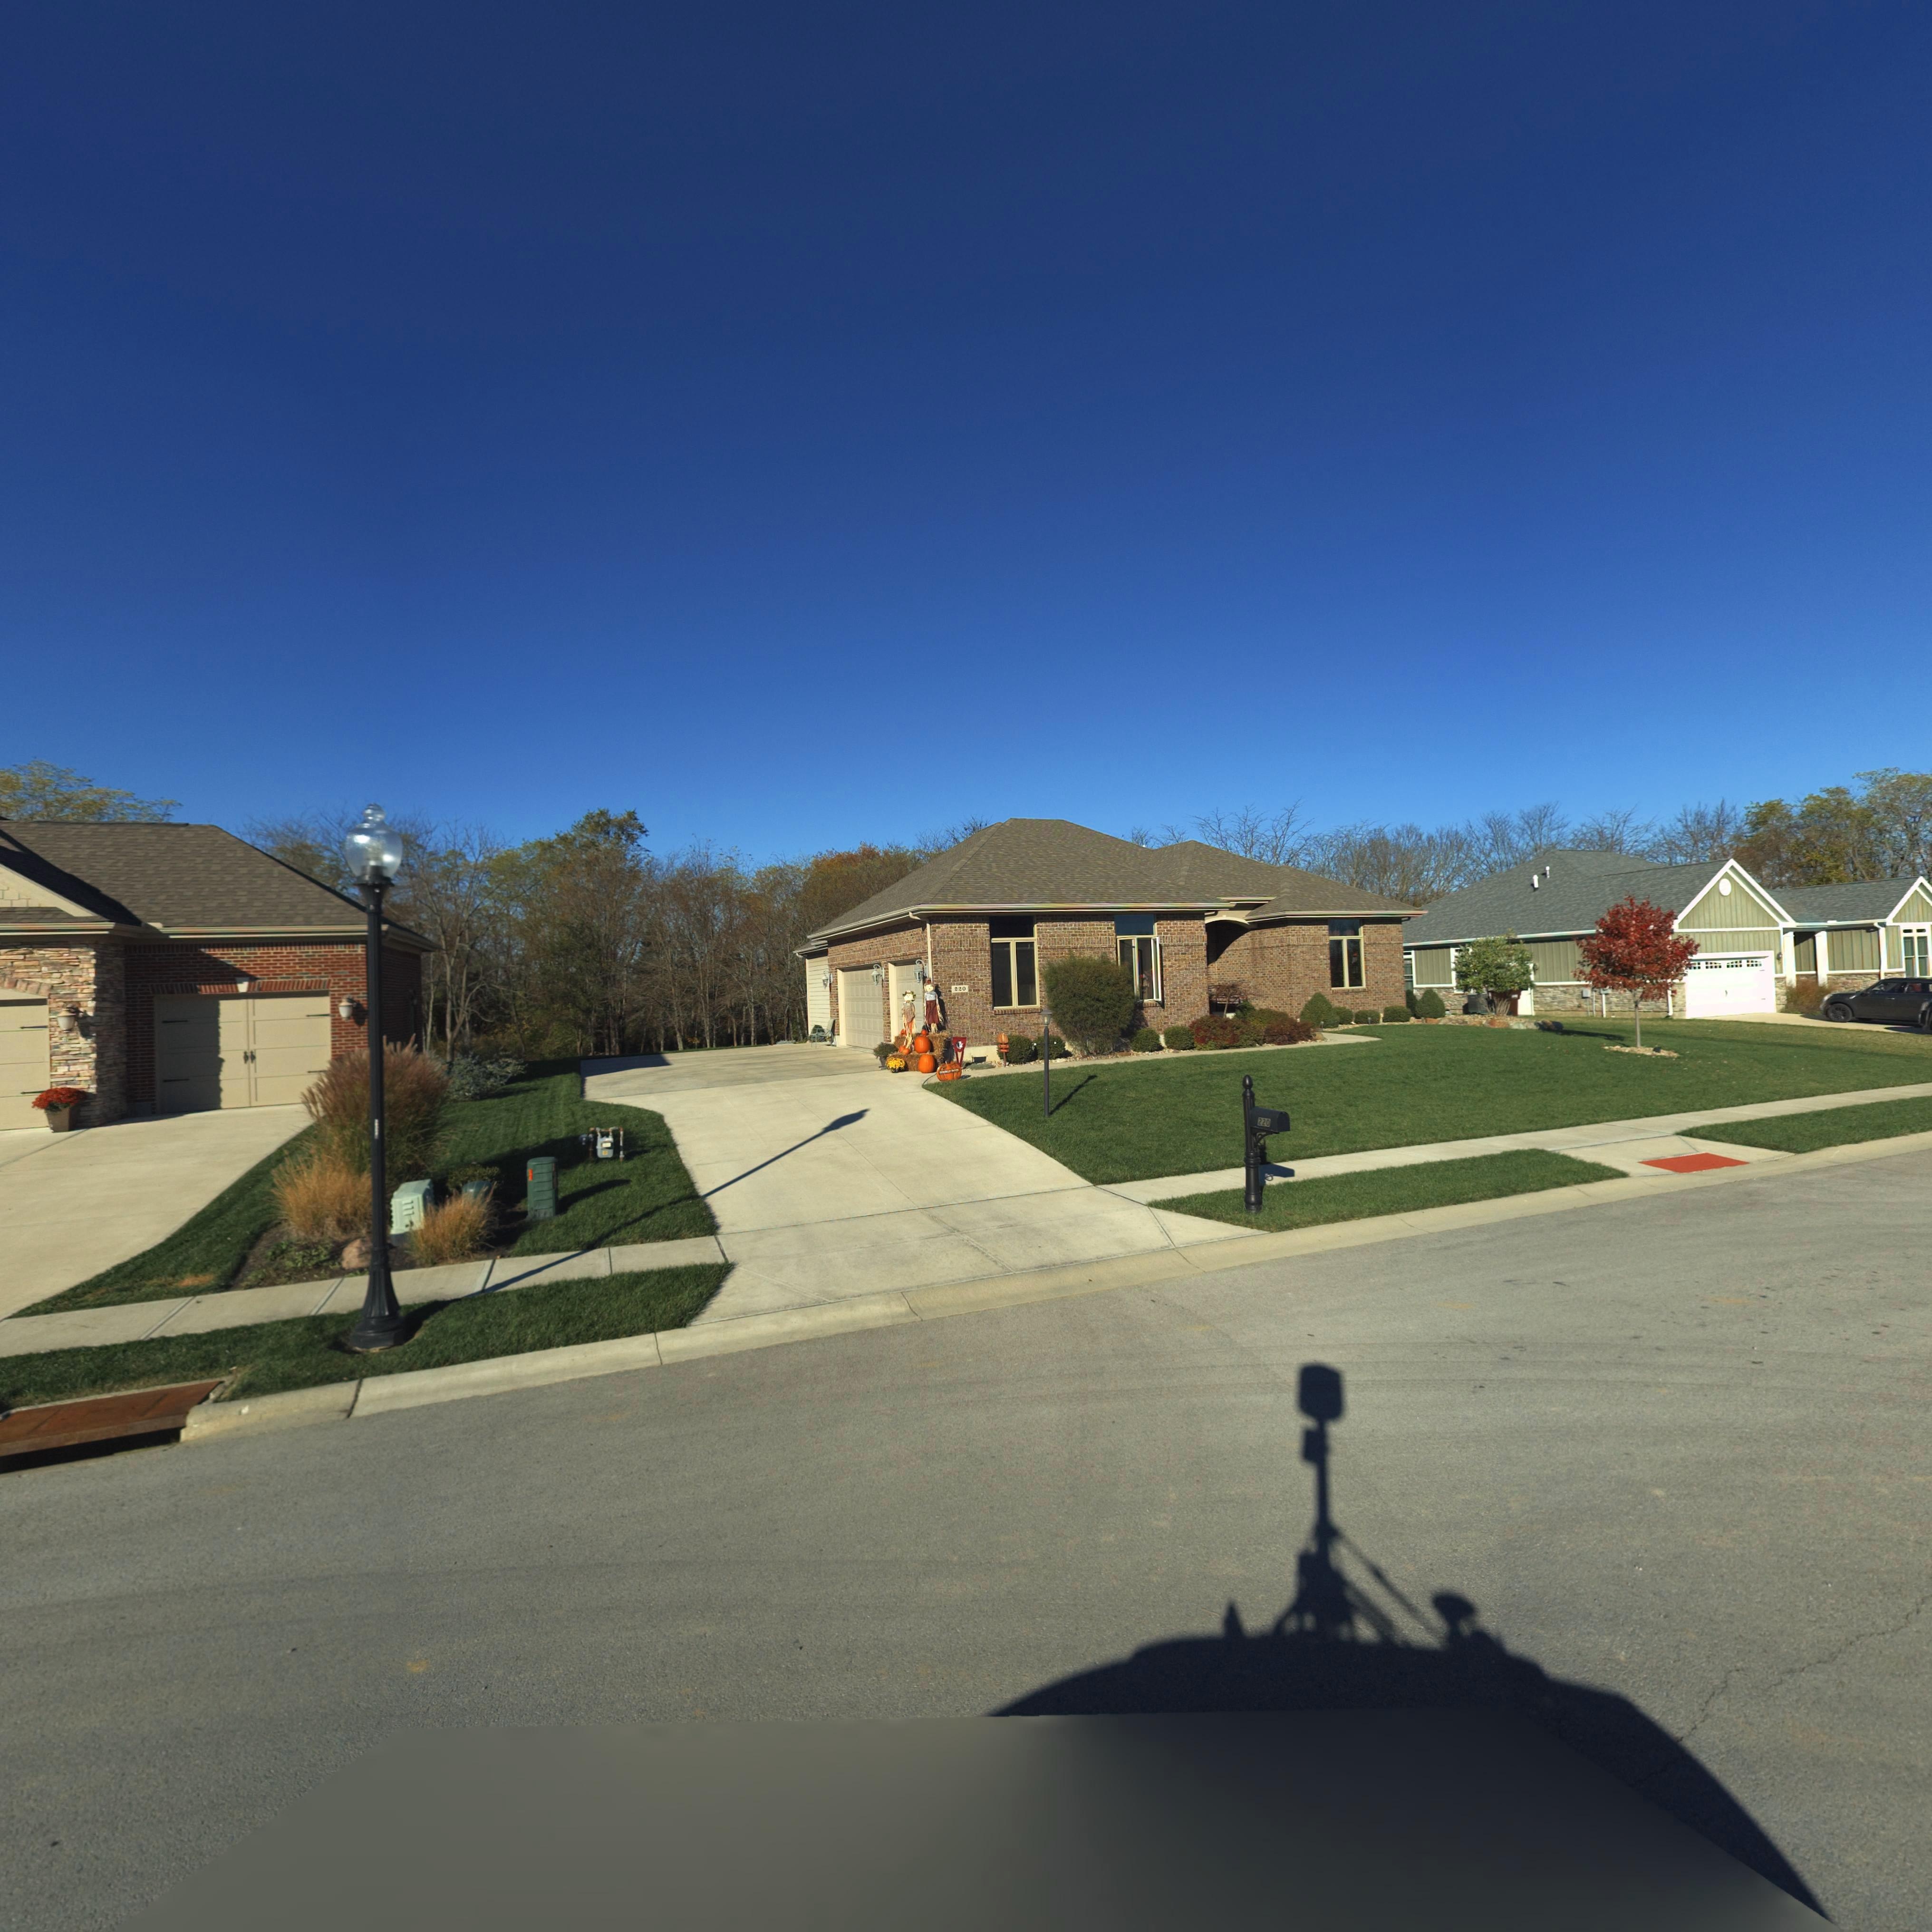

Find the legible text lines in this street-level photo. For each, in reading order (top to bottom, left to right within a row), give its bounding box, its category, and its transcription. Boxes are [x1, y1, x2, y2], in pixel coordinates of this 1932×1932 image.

[954, 985, 967, 992] StreetNumber: 220
[1257, 1117, 1271, 1127] StreetNumber: 220